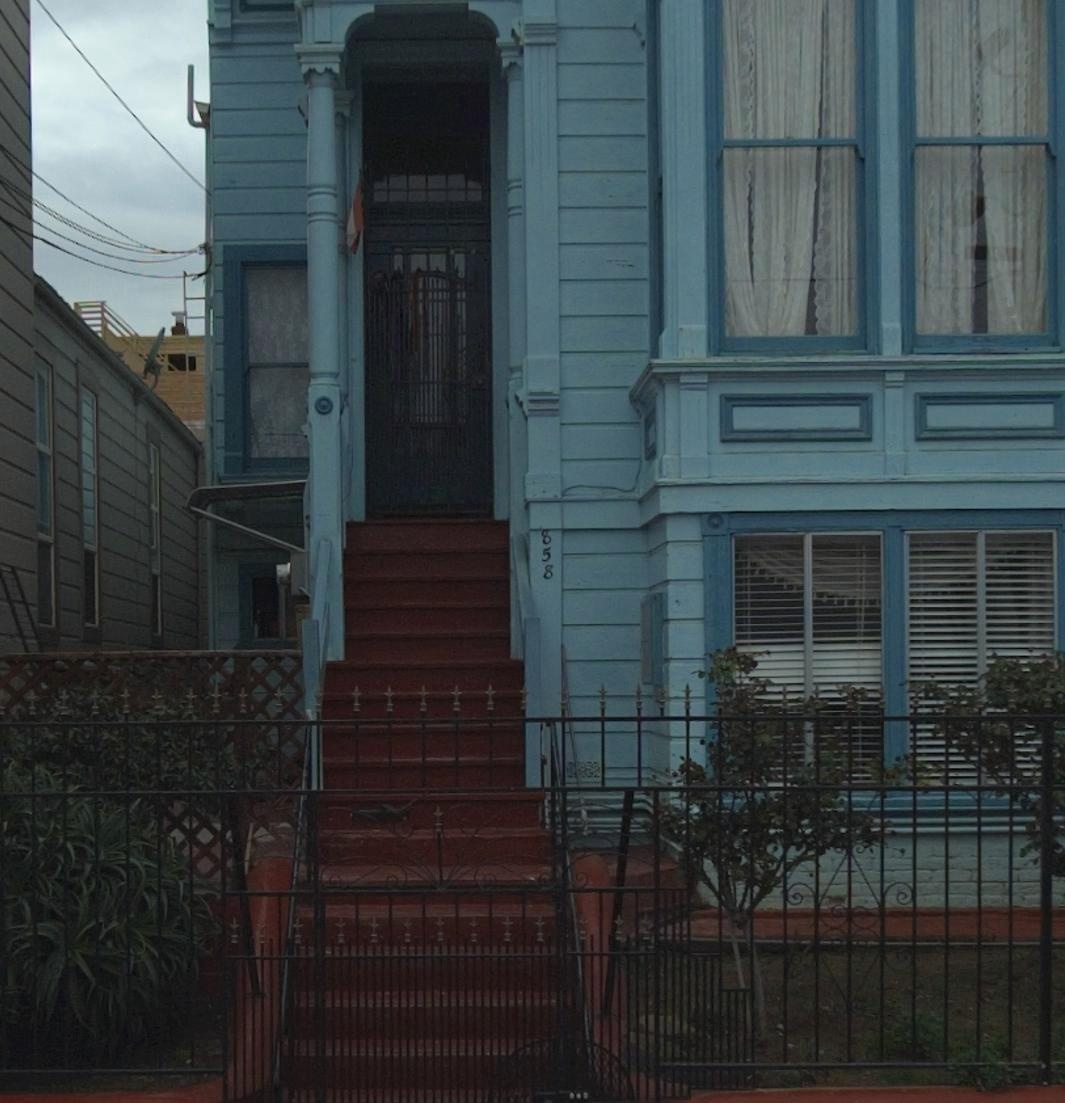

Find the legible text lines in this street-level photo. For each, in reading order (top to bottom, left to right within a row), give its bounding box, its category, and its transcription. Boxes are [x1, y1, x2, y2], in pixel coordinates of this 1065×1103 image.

[539, 527, 555, 581] StreetNumber: 858